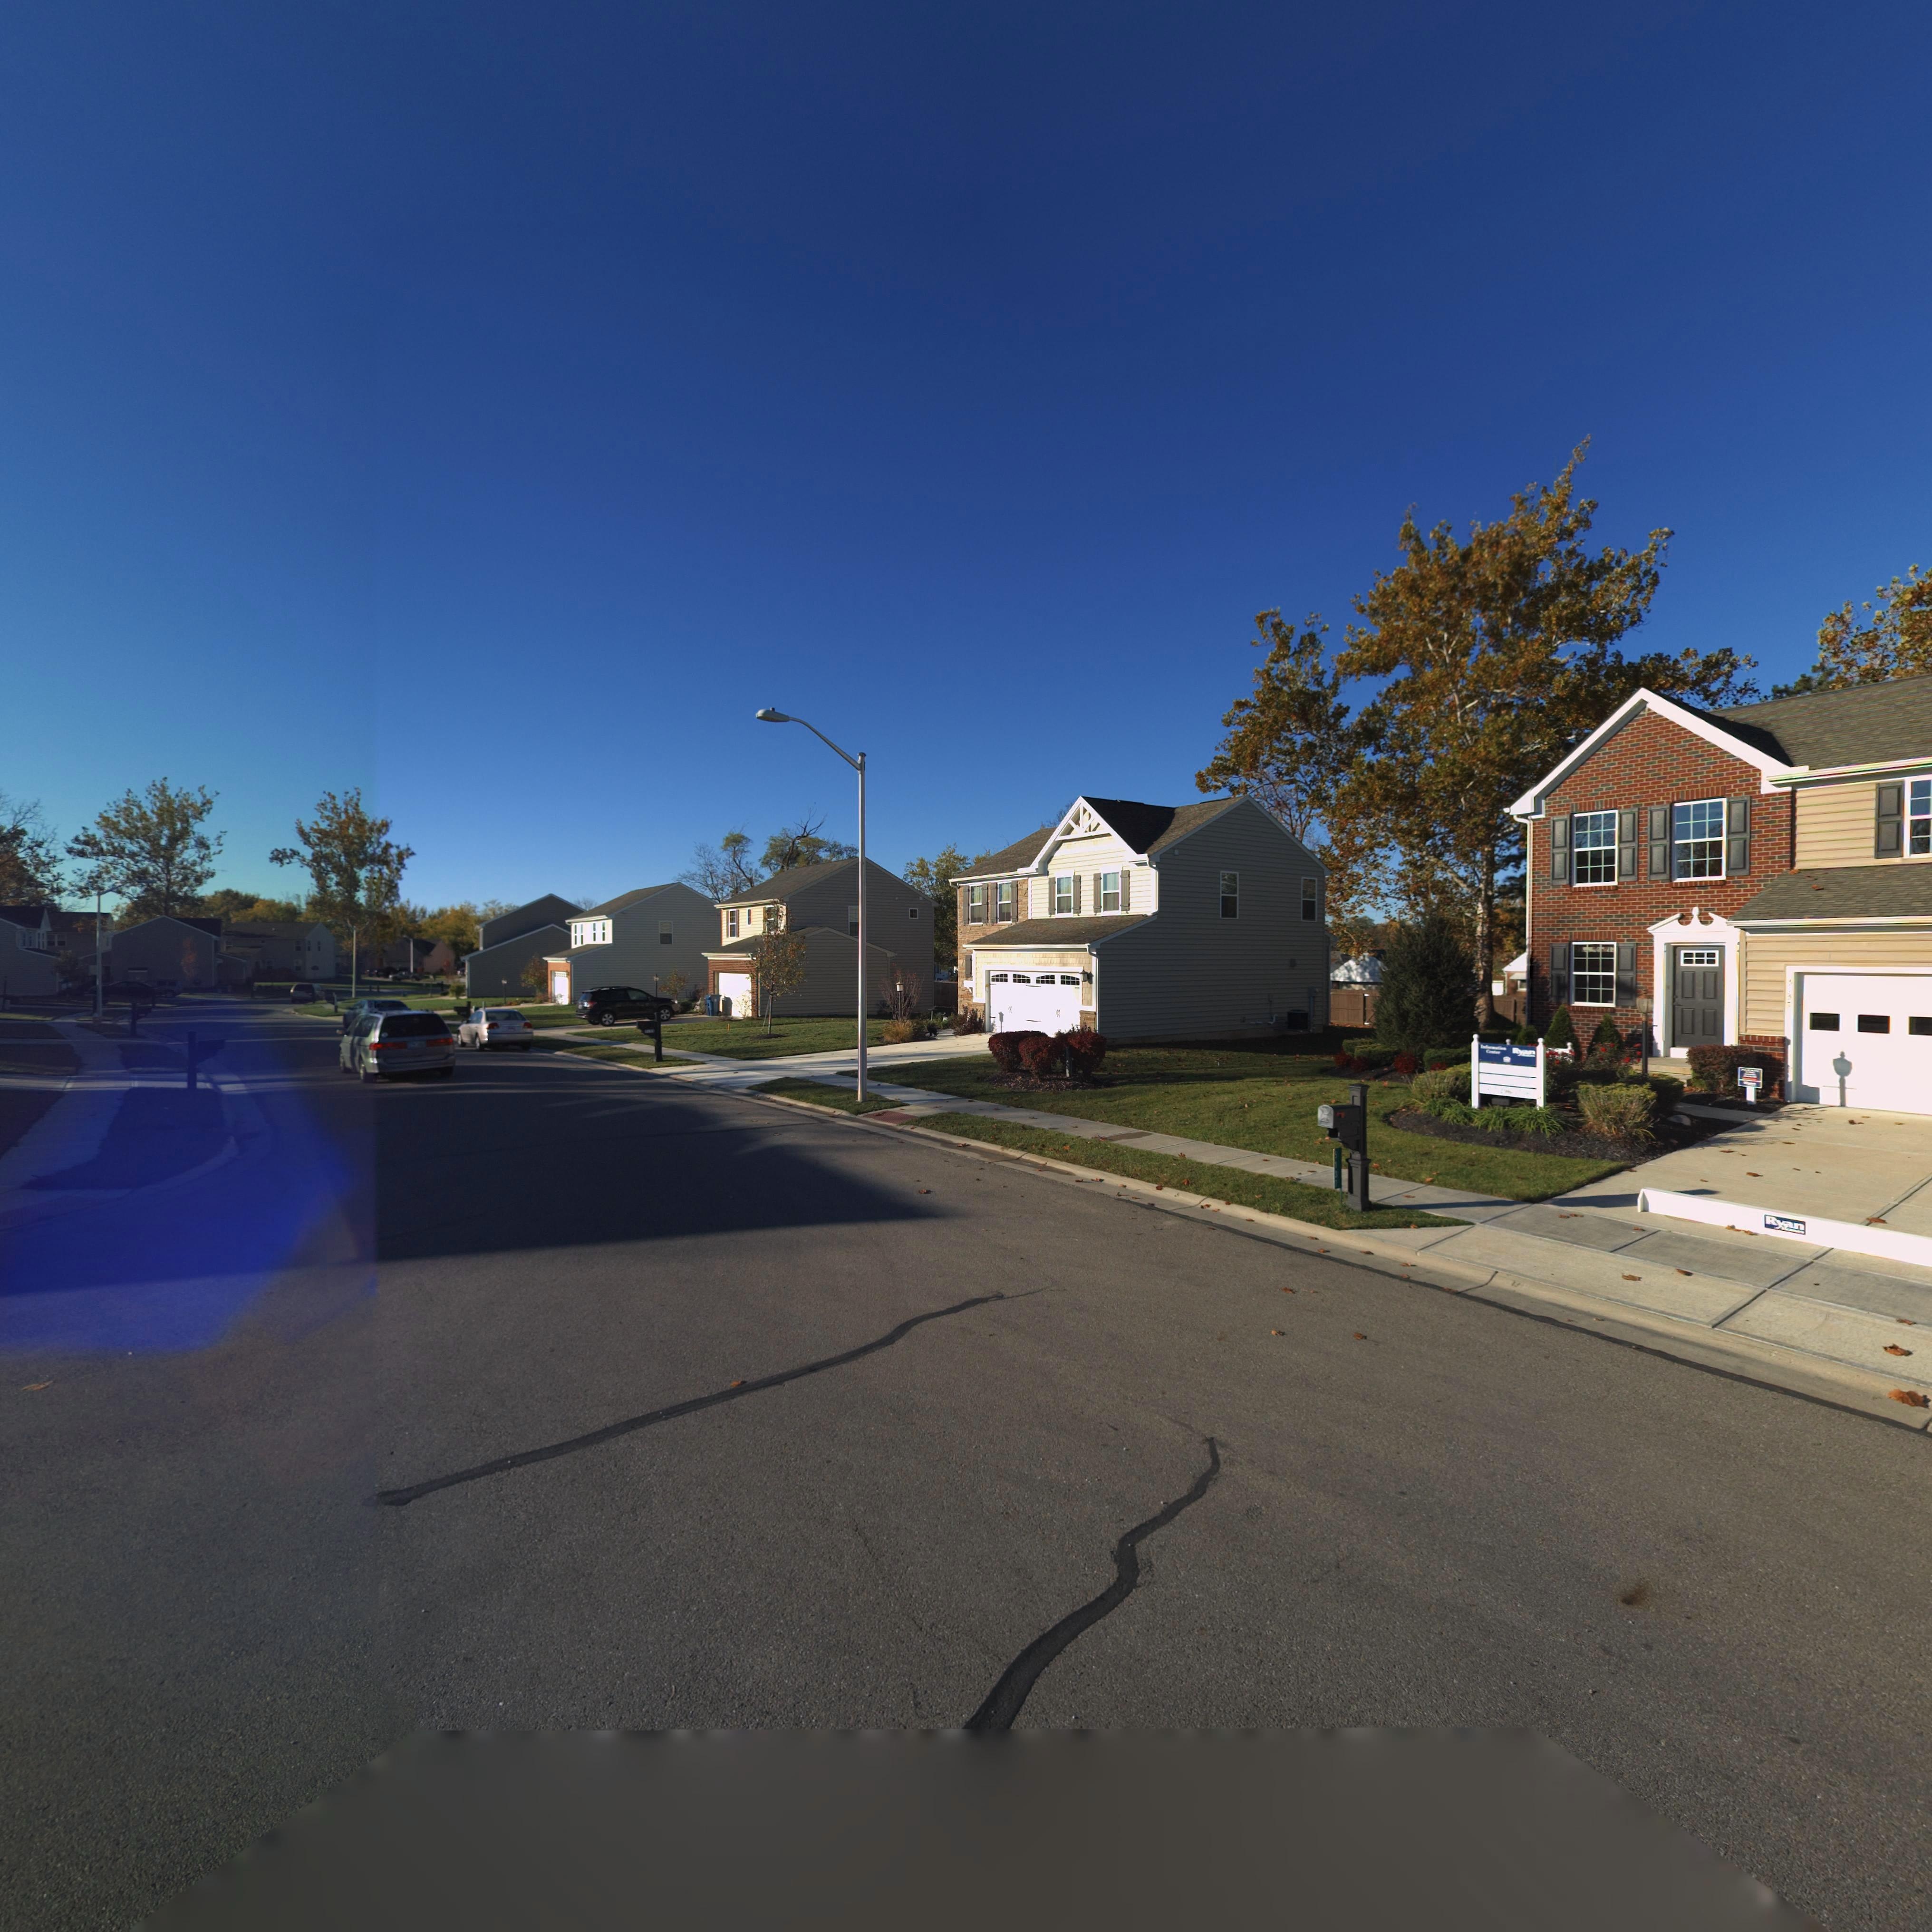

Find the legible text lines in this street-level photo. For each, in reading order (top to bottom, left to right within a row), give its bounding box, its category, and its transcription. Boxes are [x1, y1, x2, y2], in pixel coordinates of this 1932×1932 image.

[1334, 1149, 1338, 1187] StreetNumber: 5137